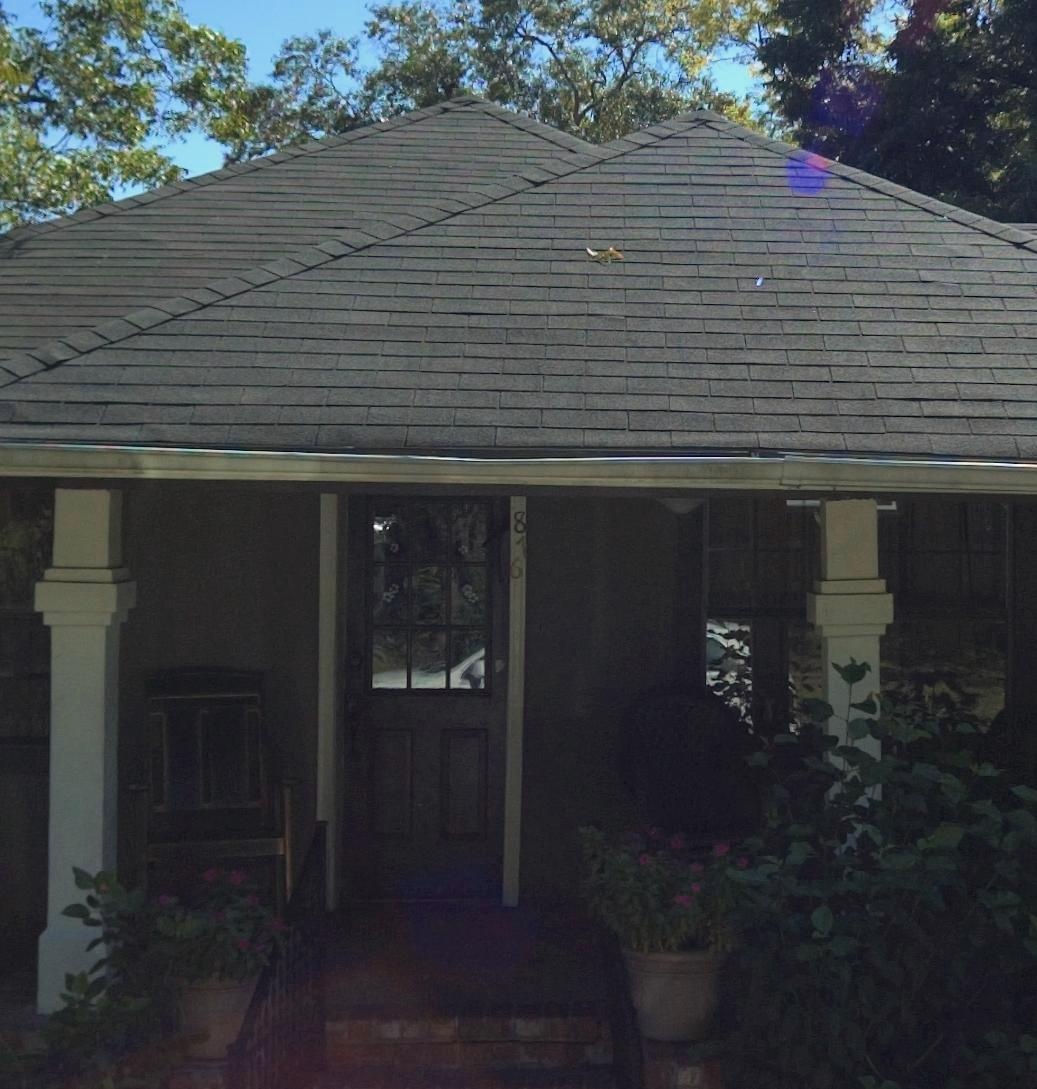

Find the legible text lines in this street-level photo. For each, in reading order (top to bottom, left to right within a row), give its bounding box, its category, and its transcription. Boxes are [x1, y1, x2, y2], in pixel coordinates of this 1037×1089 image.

[507, 509, 529, 581] StreetNumber: 876